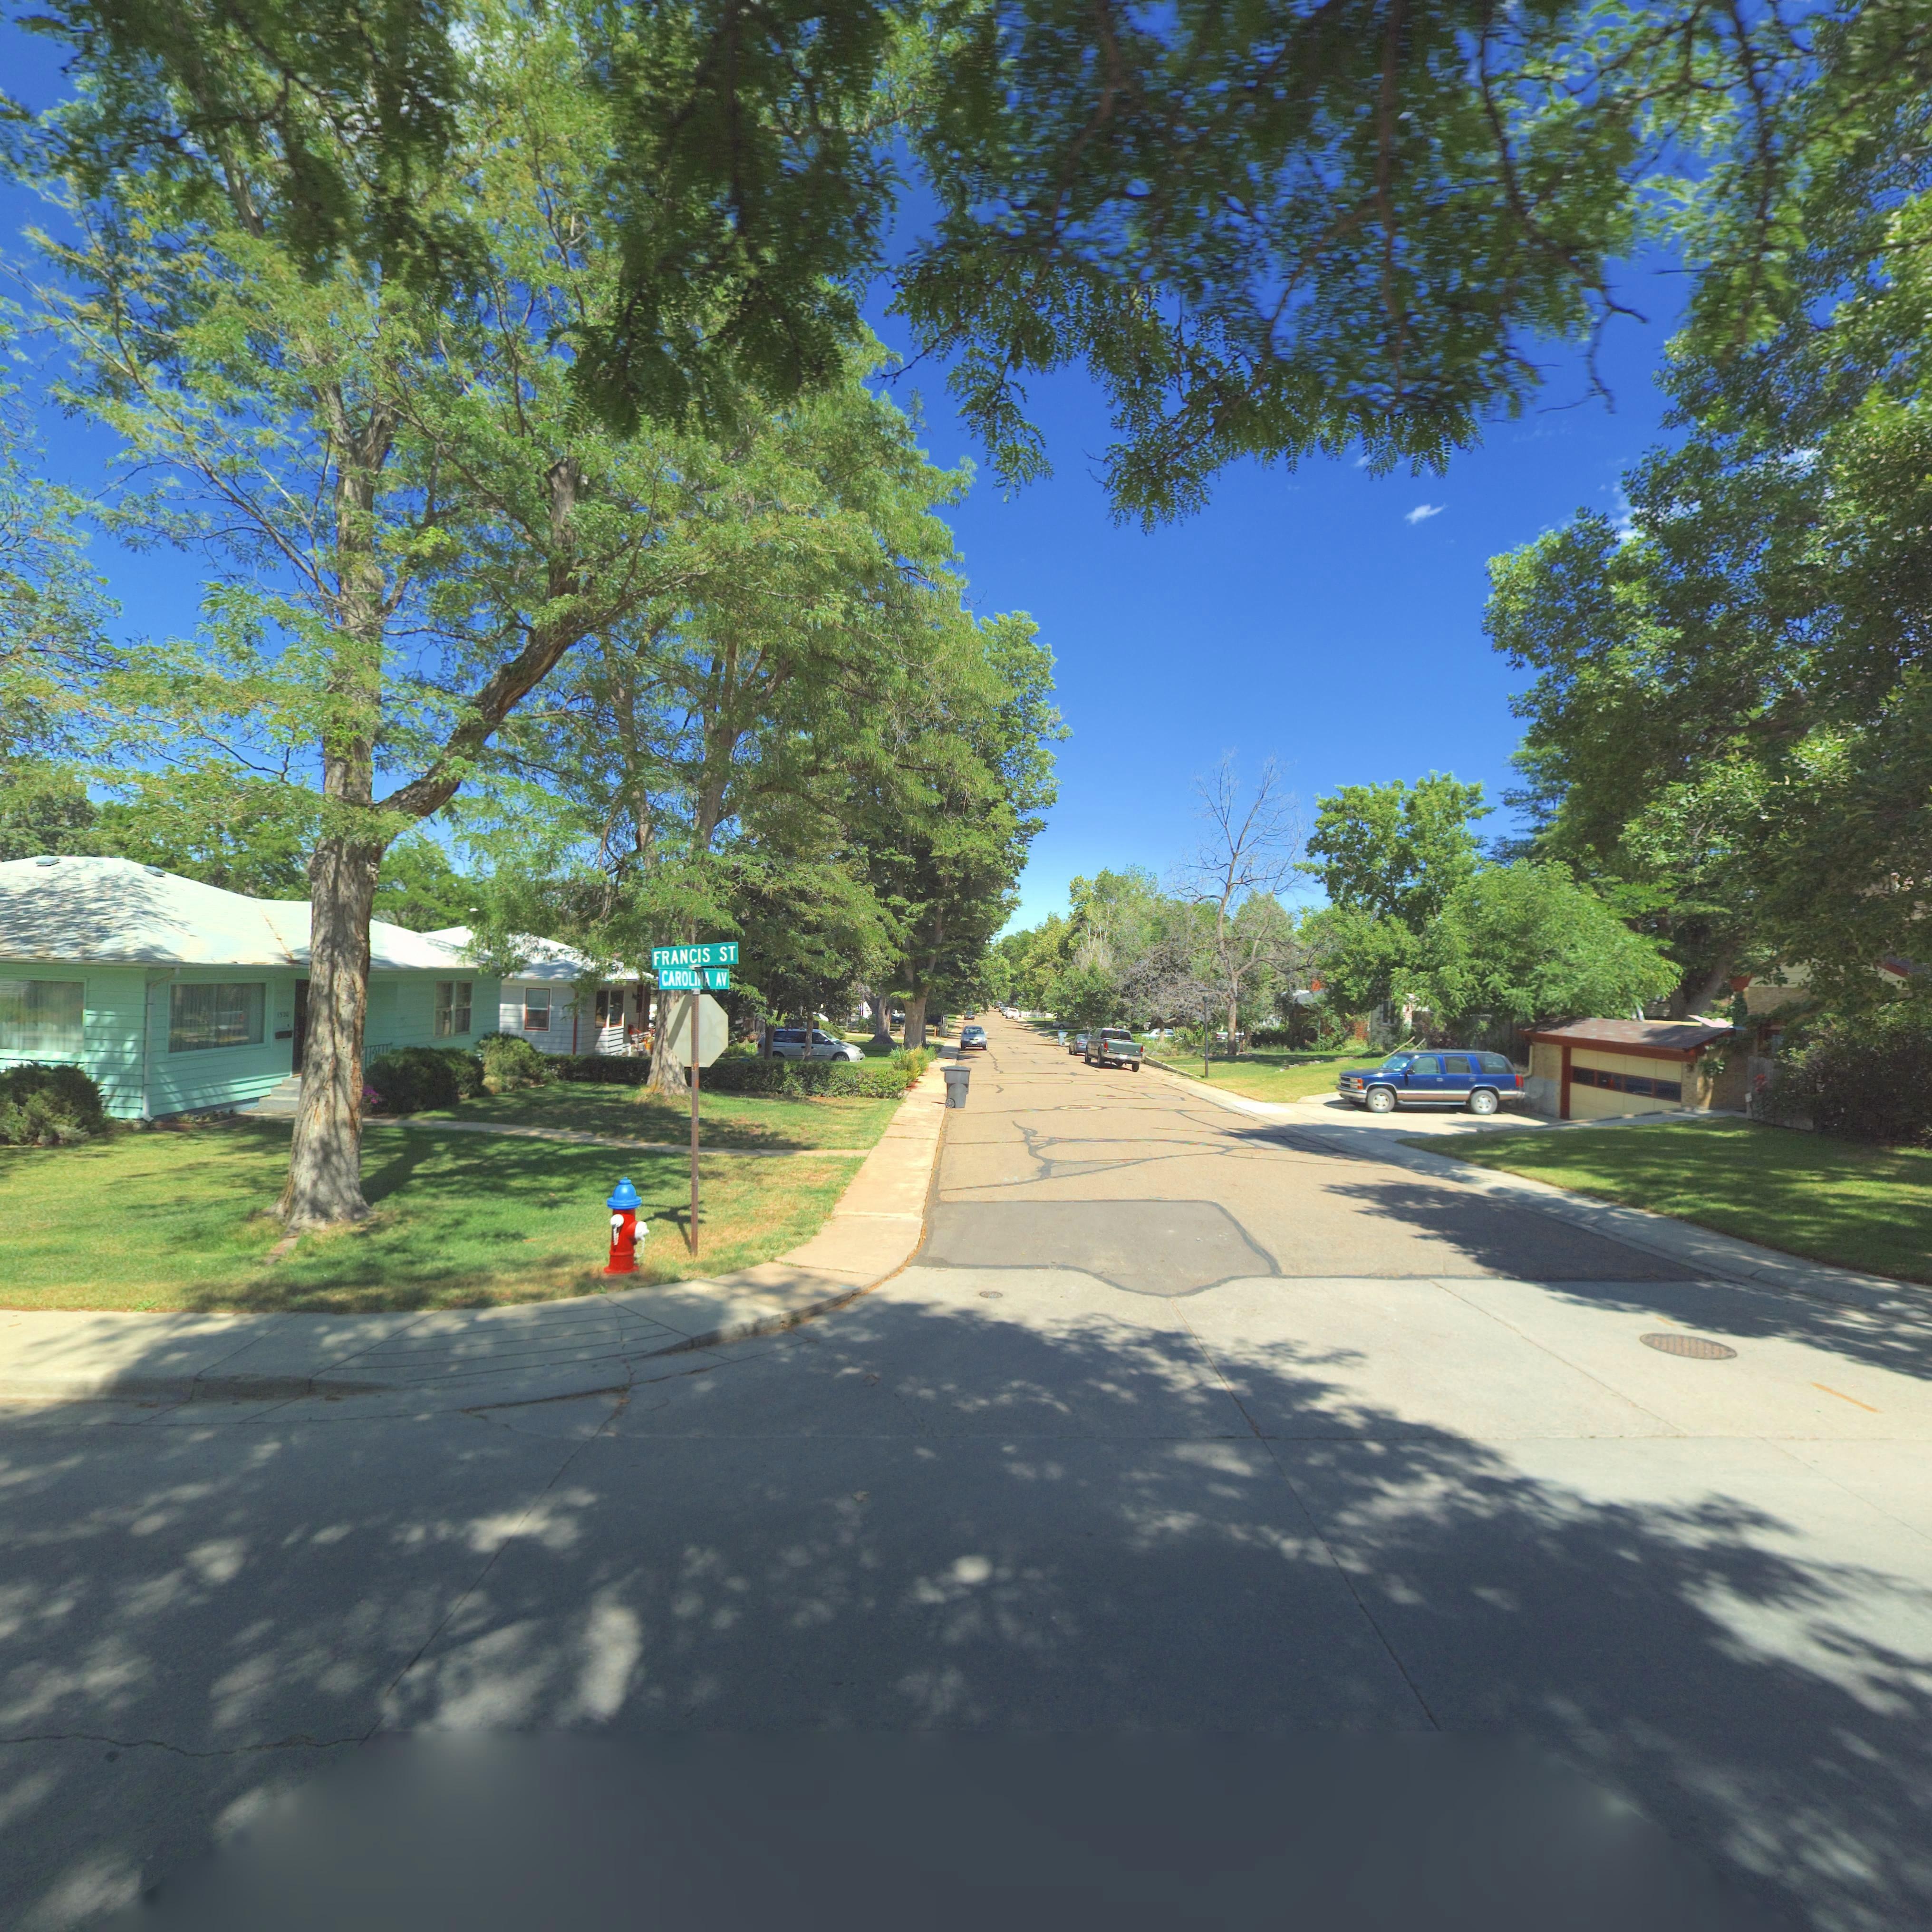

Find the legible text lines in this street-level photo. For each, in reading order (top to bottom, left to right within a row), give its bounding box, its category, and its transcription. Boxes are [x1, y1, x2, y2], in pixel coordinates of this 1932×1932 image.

[652, 945, 736, 966] StreetName: FRANCIS ST
[660, 969, 728, 987] StreetName: CAROLINA AV
[277, 1011, 289, 1018] StreetNumber: 1500